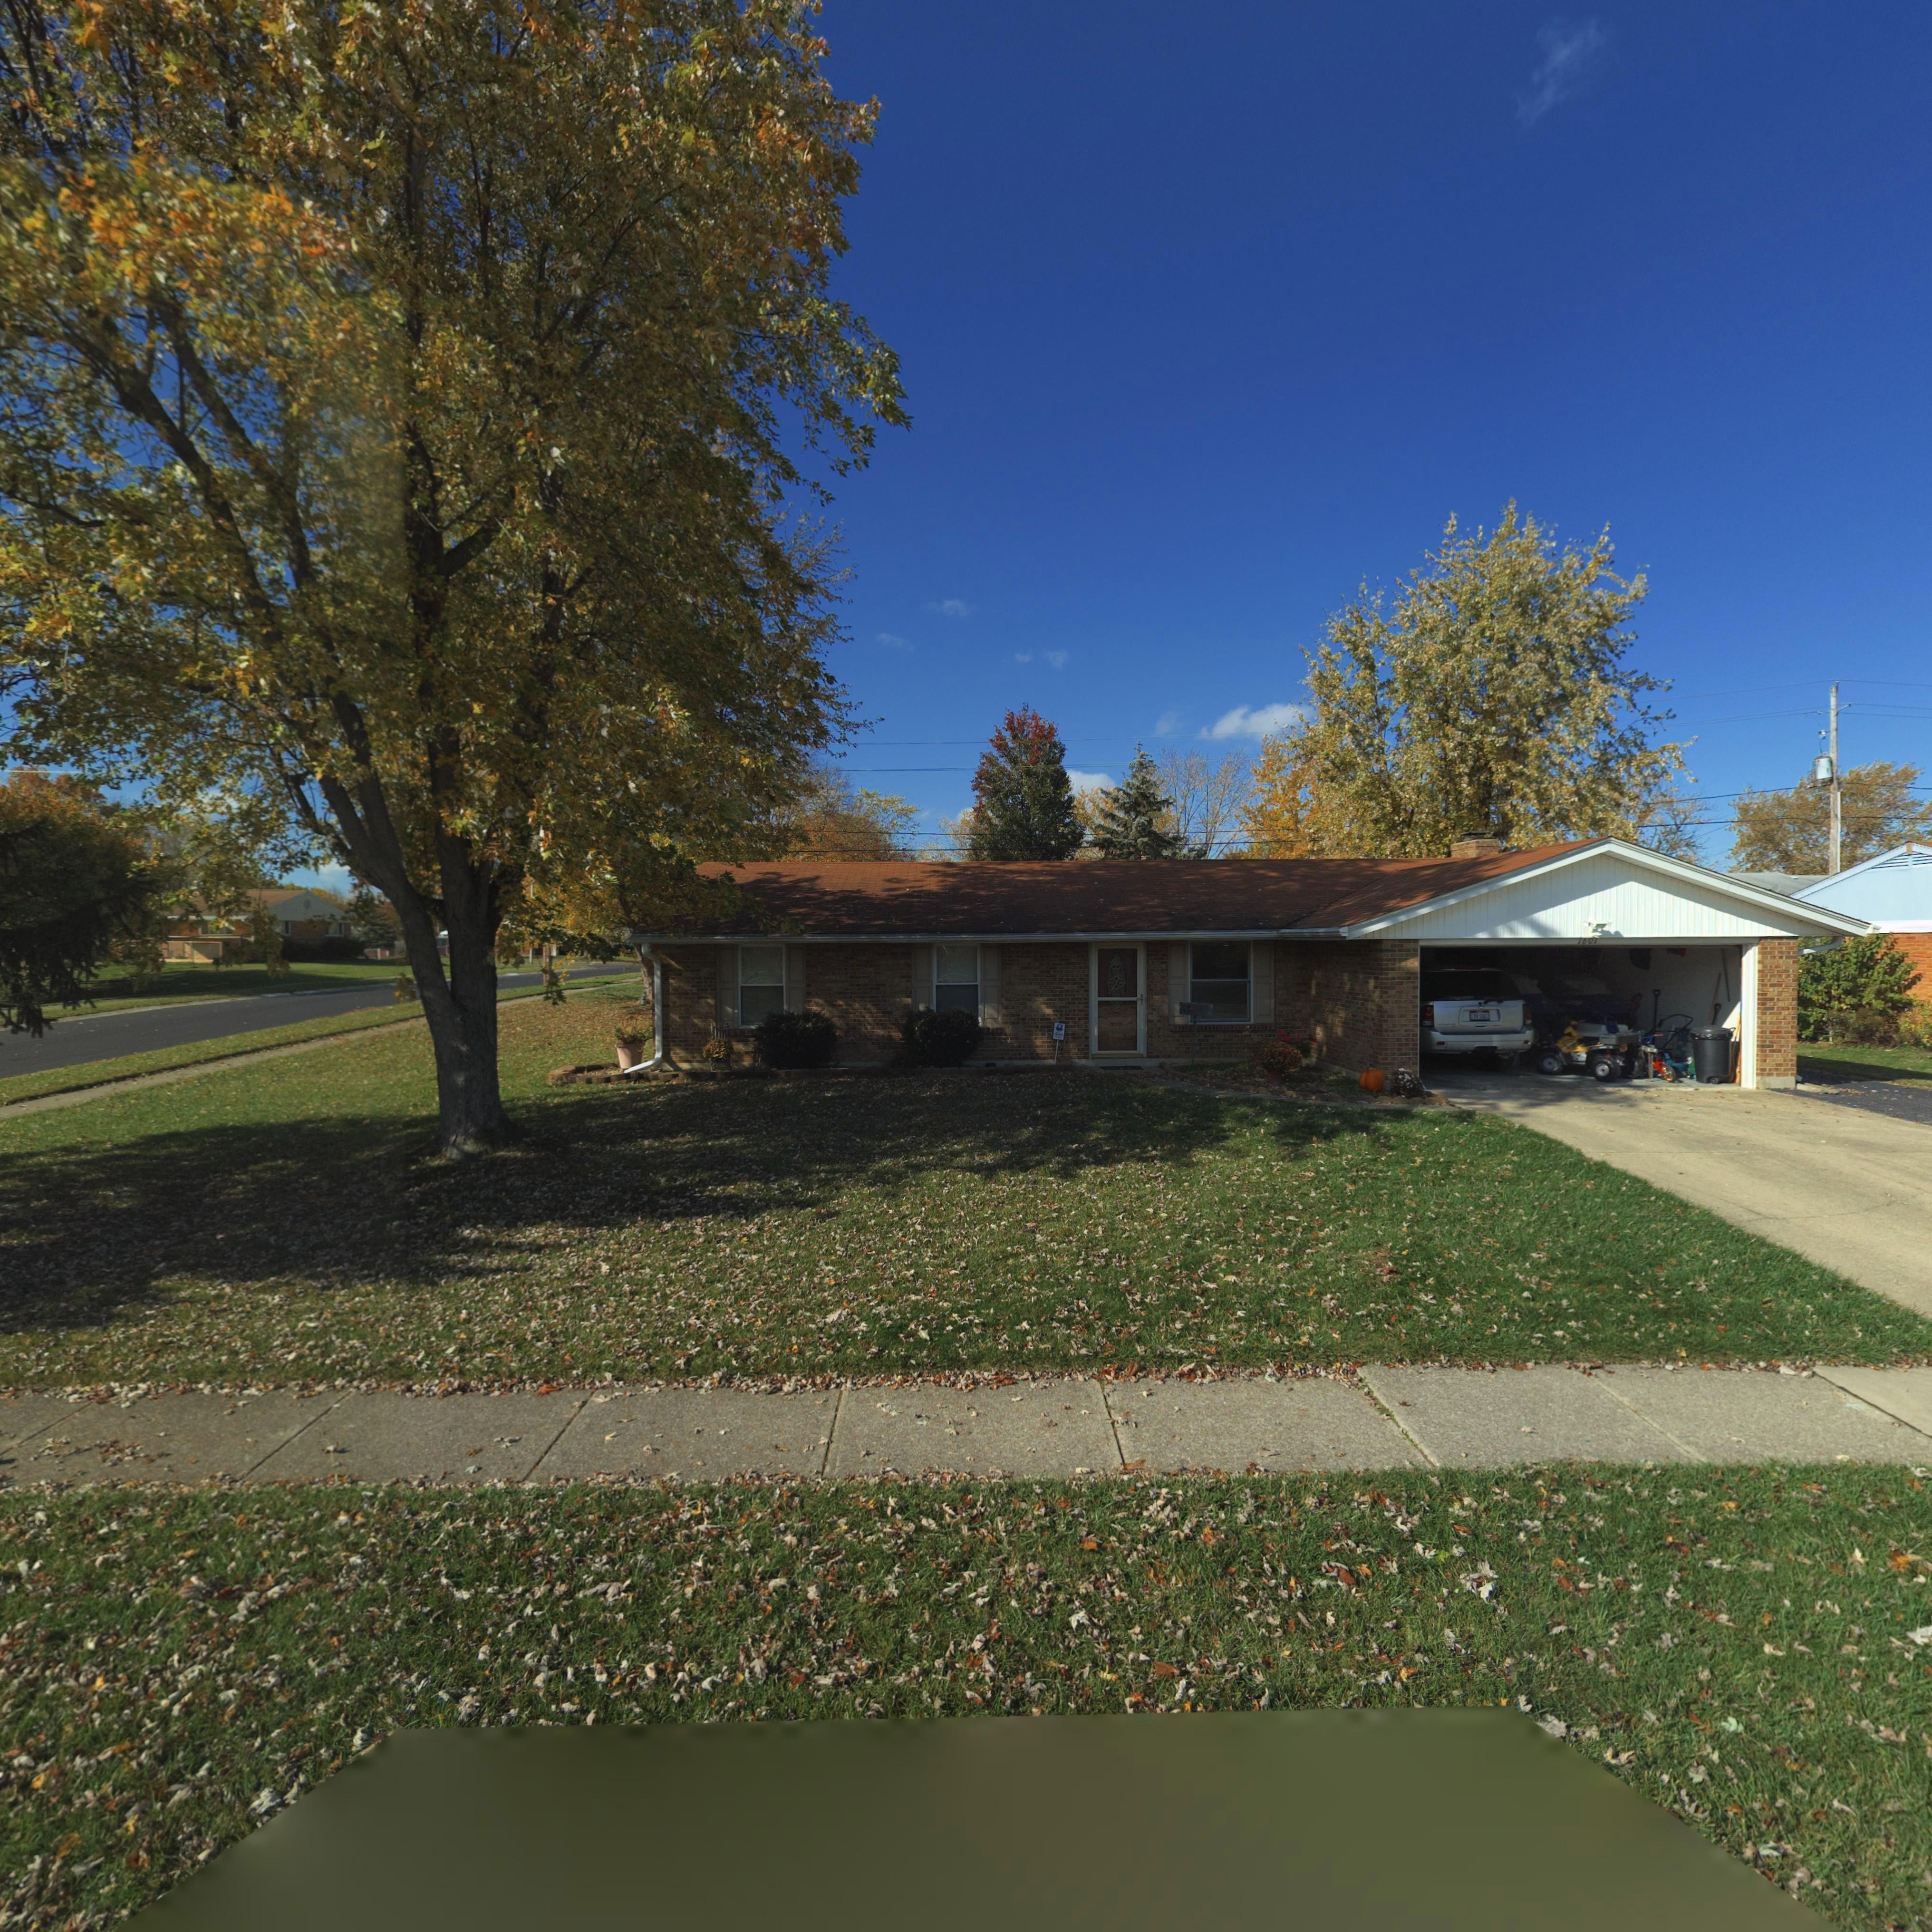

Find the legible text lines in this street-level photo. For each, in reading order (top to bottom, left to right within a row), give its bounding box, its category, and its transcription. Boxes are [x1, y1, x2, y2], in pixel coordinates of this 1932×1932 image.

[1576, 937, 1599, 946] StreetNumber: **0*